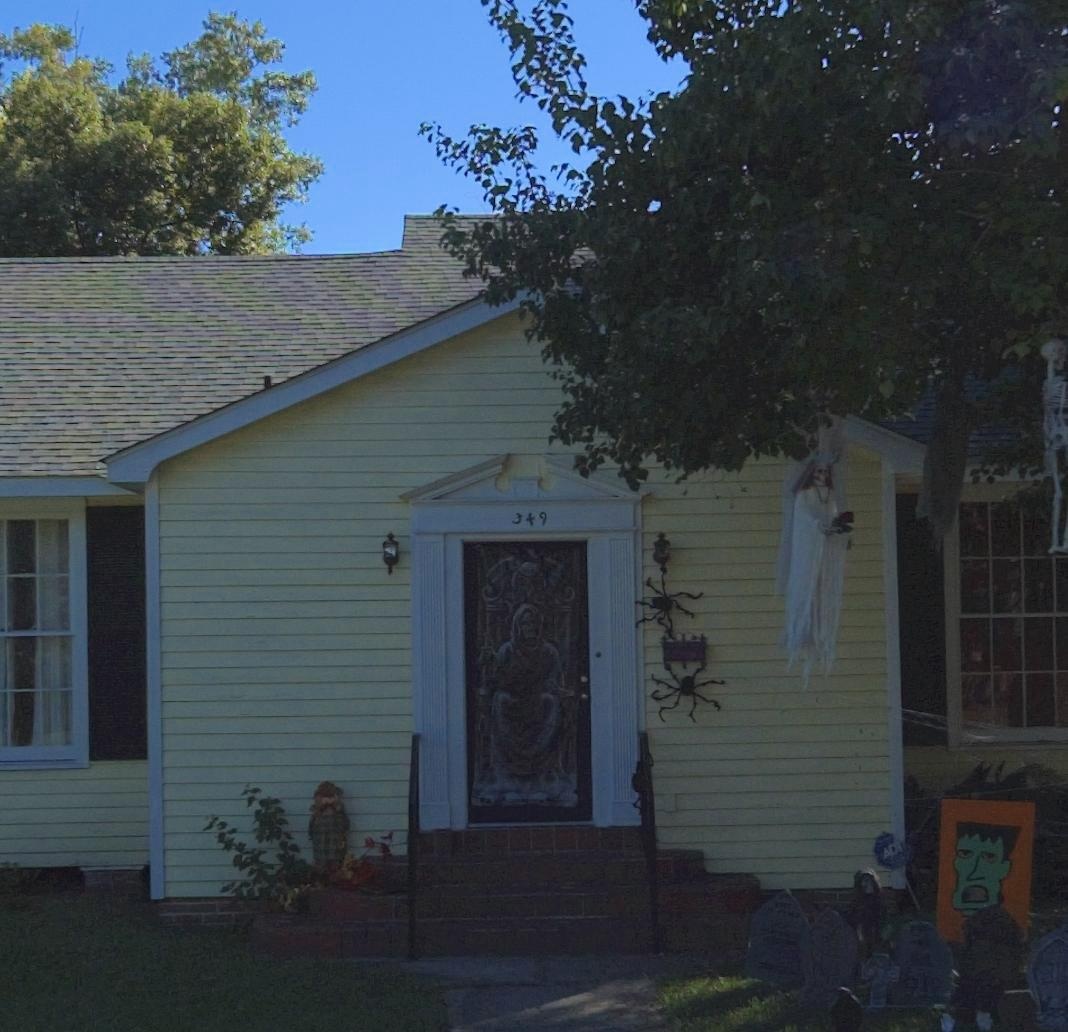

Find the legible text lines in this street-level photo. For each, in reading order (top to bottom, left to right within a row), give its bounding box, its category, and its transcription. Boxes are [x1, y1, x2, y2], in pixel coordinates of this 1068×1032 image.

[508, 509, 549, 529] StreetNumber: 349
[882, 841, 901, 862] None: AD